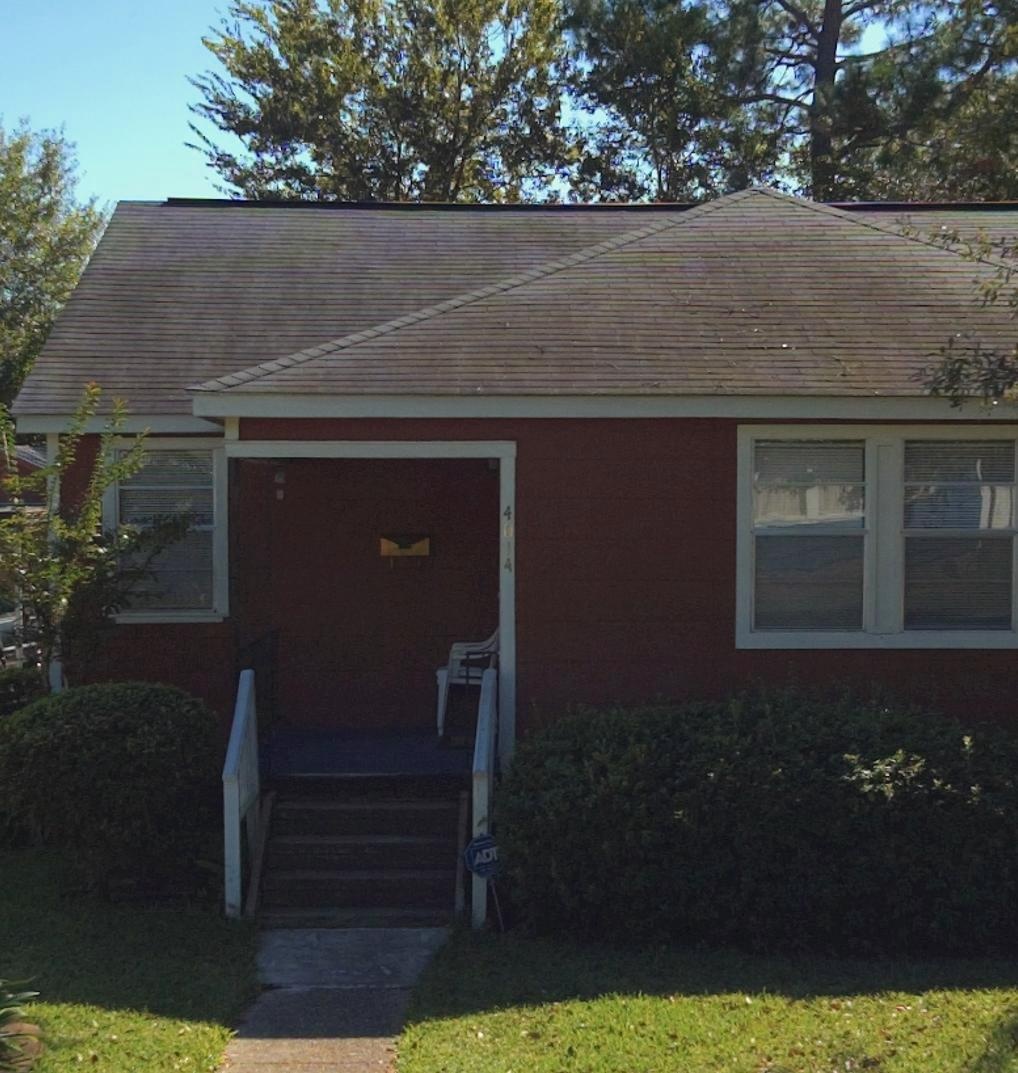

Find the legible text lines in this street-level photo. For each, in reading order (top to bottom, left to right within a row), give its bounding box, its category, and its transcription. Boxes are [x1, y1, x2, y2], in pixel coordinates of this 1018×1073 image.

[501, 502, 515, 573] StreetNumber: 4014
[472, 844, 501, 868] None: ADT